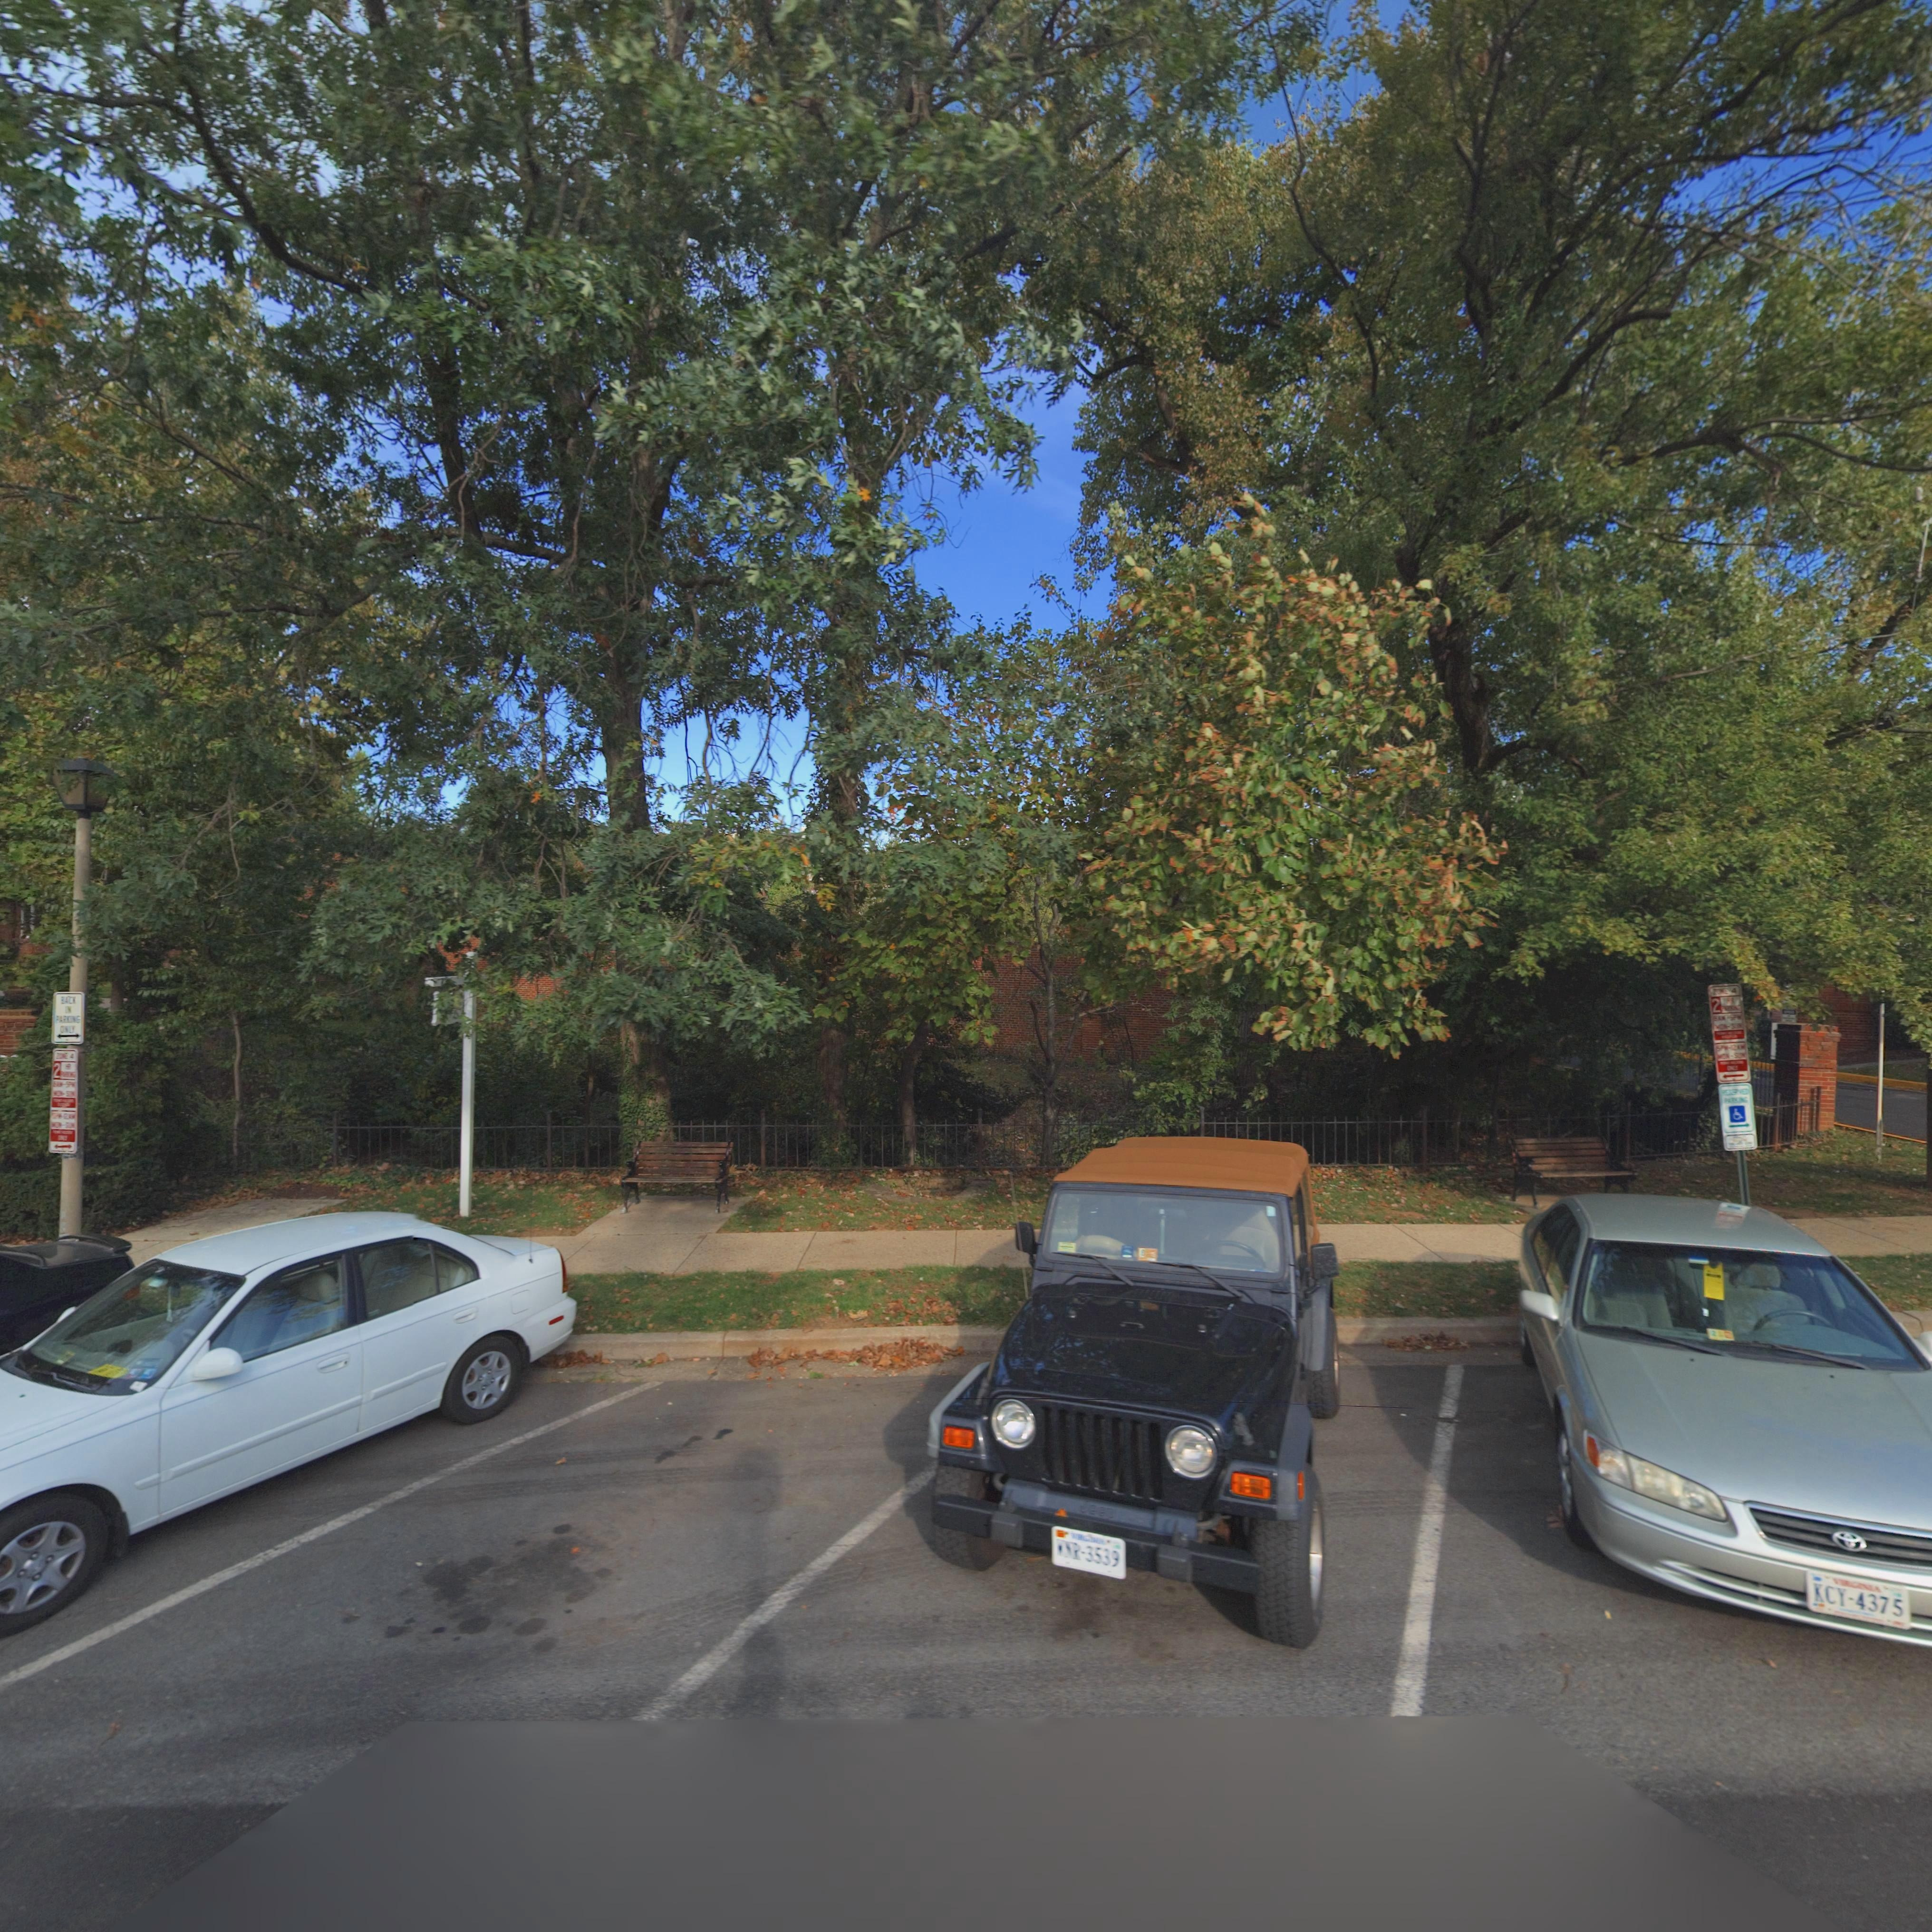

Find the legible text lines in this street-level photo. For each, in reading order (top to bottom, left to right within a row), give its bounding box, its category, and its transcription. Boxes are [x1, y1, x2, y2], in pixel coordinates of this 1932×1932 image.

[60, 995, 76, 1005] None: BACK
[65, 1005, 72, 1014] None: IN
[1711, 998, 1721, 1013] None: 2
[55, 1015, 80, 1024] None: PARKING
[59, 1025, 76, 1034] None: ONLY
[52, 1063, 61, 1079] None: 2
[53, 1081, 76, 1088] None: *AM*5PM
[1721, 1088, 1750, 1097] None: RESERVED
[1723, 1096, 1748, 1105] None: PARKING
[1078, 1500, 1117, 1522] None: Jeep
[1055, 1537, 1121, 1569] None: *NR*3539
[1832, 1577, 1882, 1594] None: VIRGINIA
[1813, 1582, 1904, 1618] None: KCY*4375